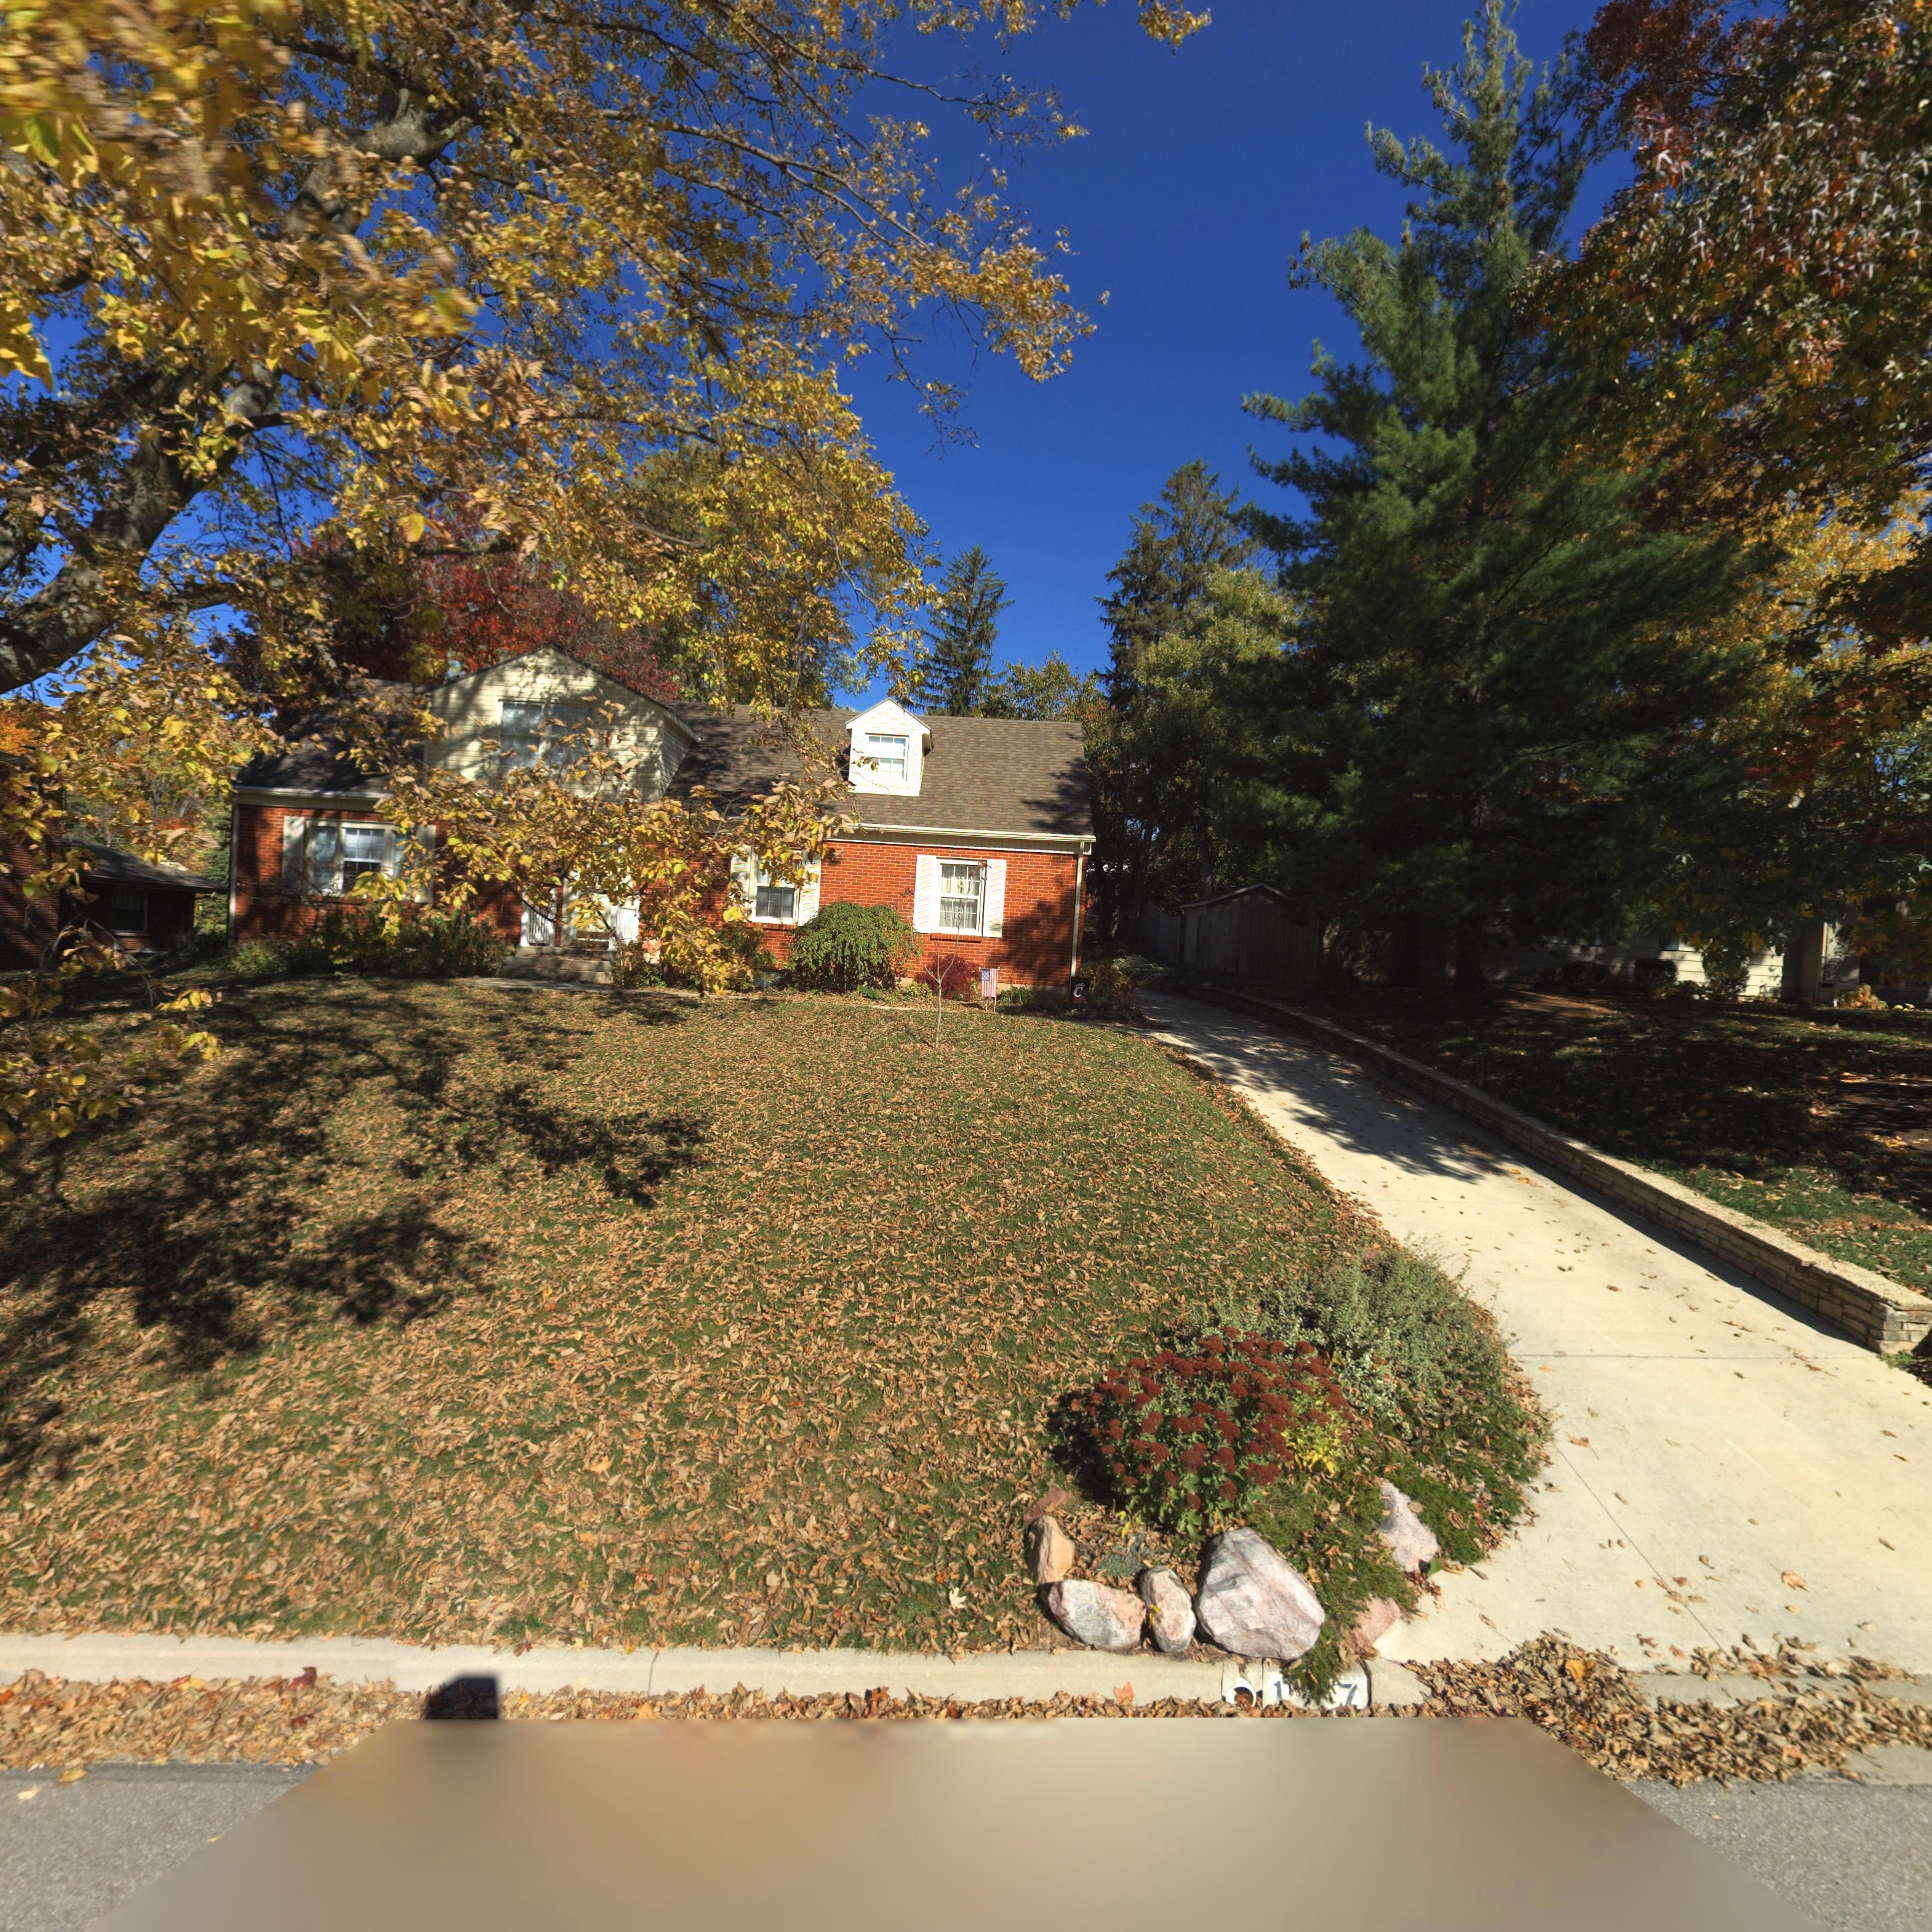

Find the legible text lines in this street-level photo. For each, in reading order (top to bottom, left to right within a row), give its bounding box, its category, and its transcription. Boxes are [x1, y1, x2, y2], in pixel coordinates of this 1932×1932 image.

[1271, 1680, 1360, 1710] StreetNumber: 1*7